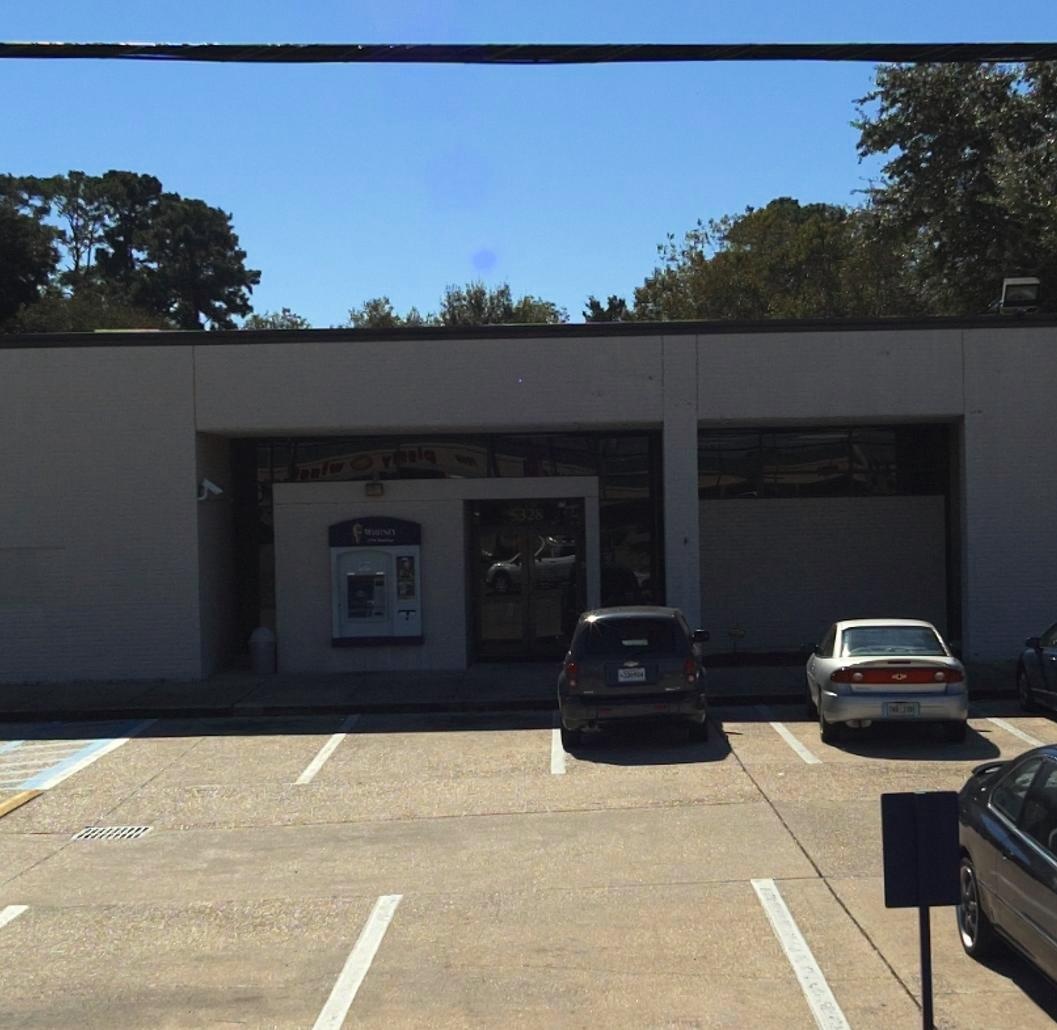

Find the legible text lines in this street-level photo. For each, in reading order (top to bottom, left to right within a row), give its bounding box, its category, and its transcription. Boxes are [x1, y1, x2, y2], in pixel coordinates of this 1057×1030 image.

[298, 443, 440, 482] None: **l* * ***l*
[508, 505, 545, 524] StreetNumber: 5328
[348, 521, 366, 547] BusinessName: f